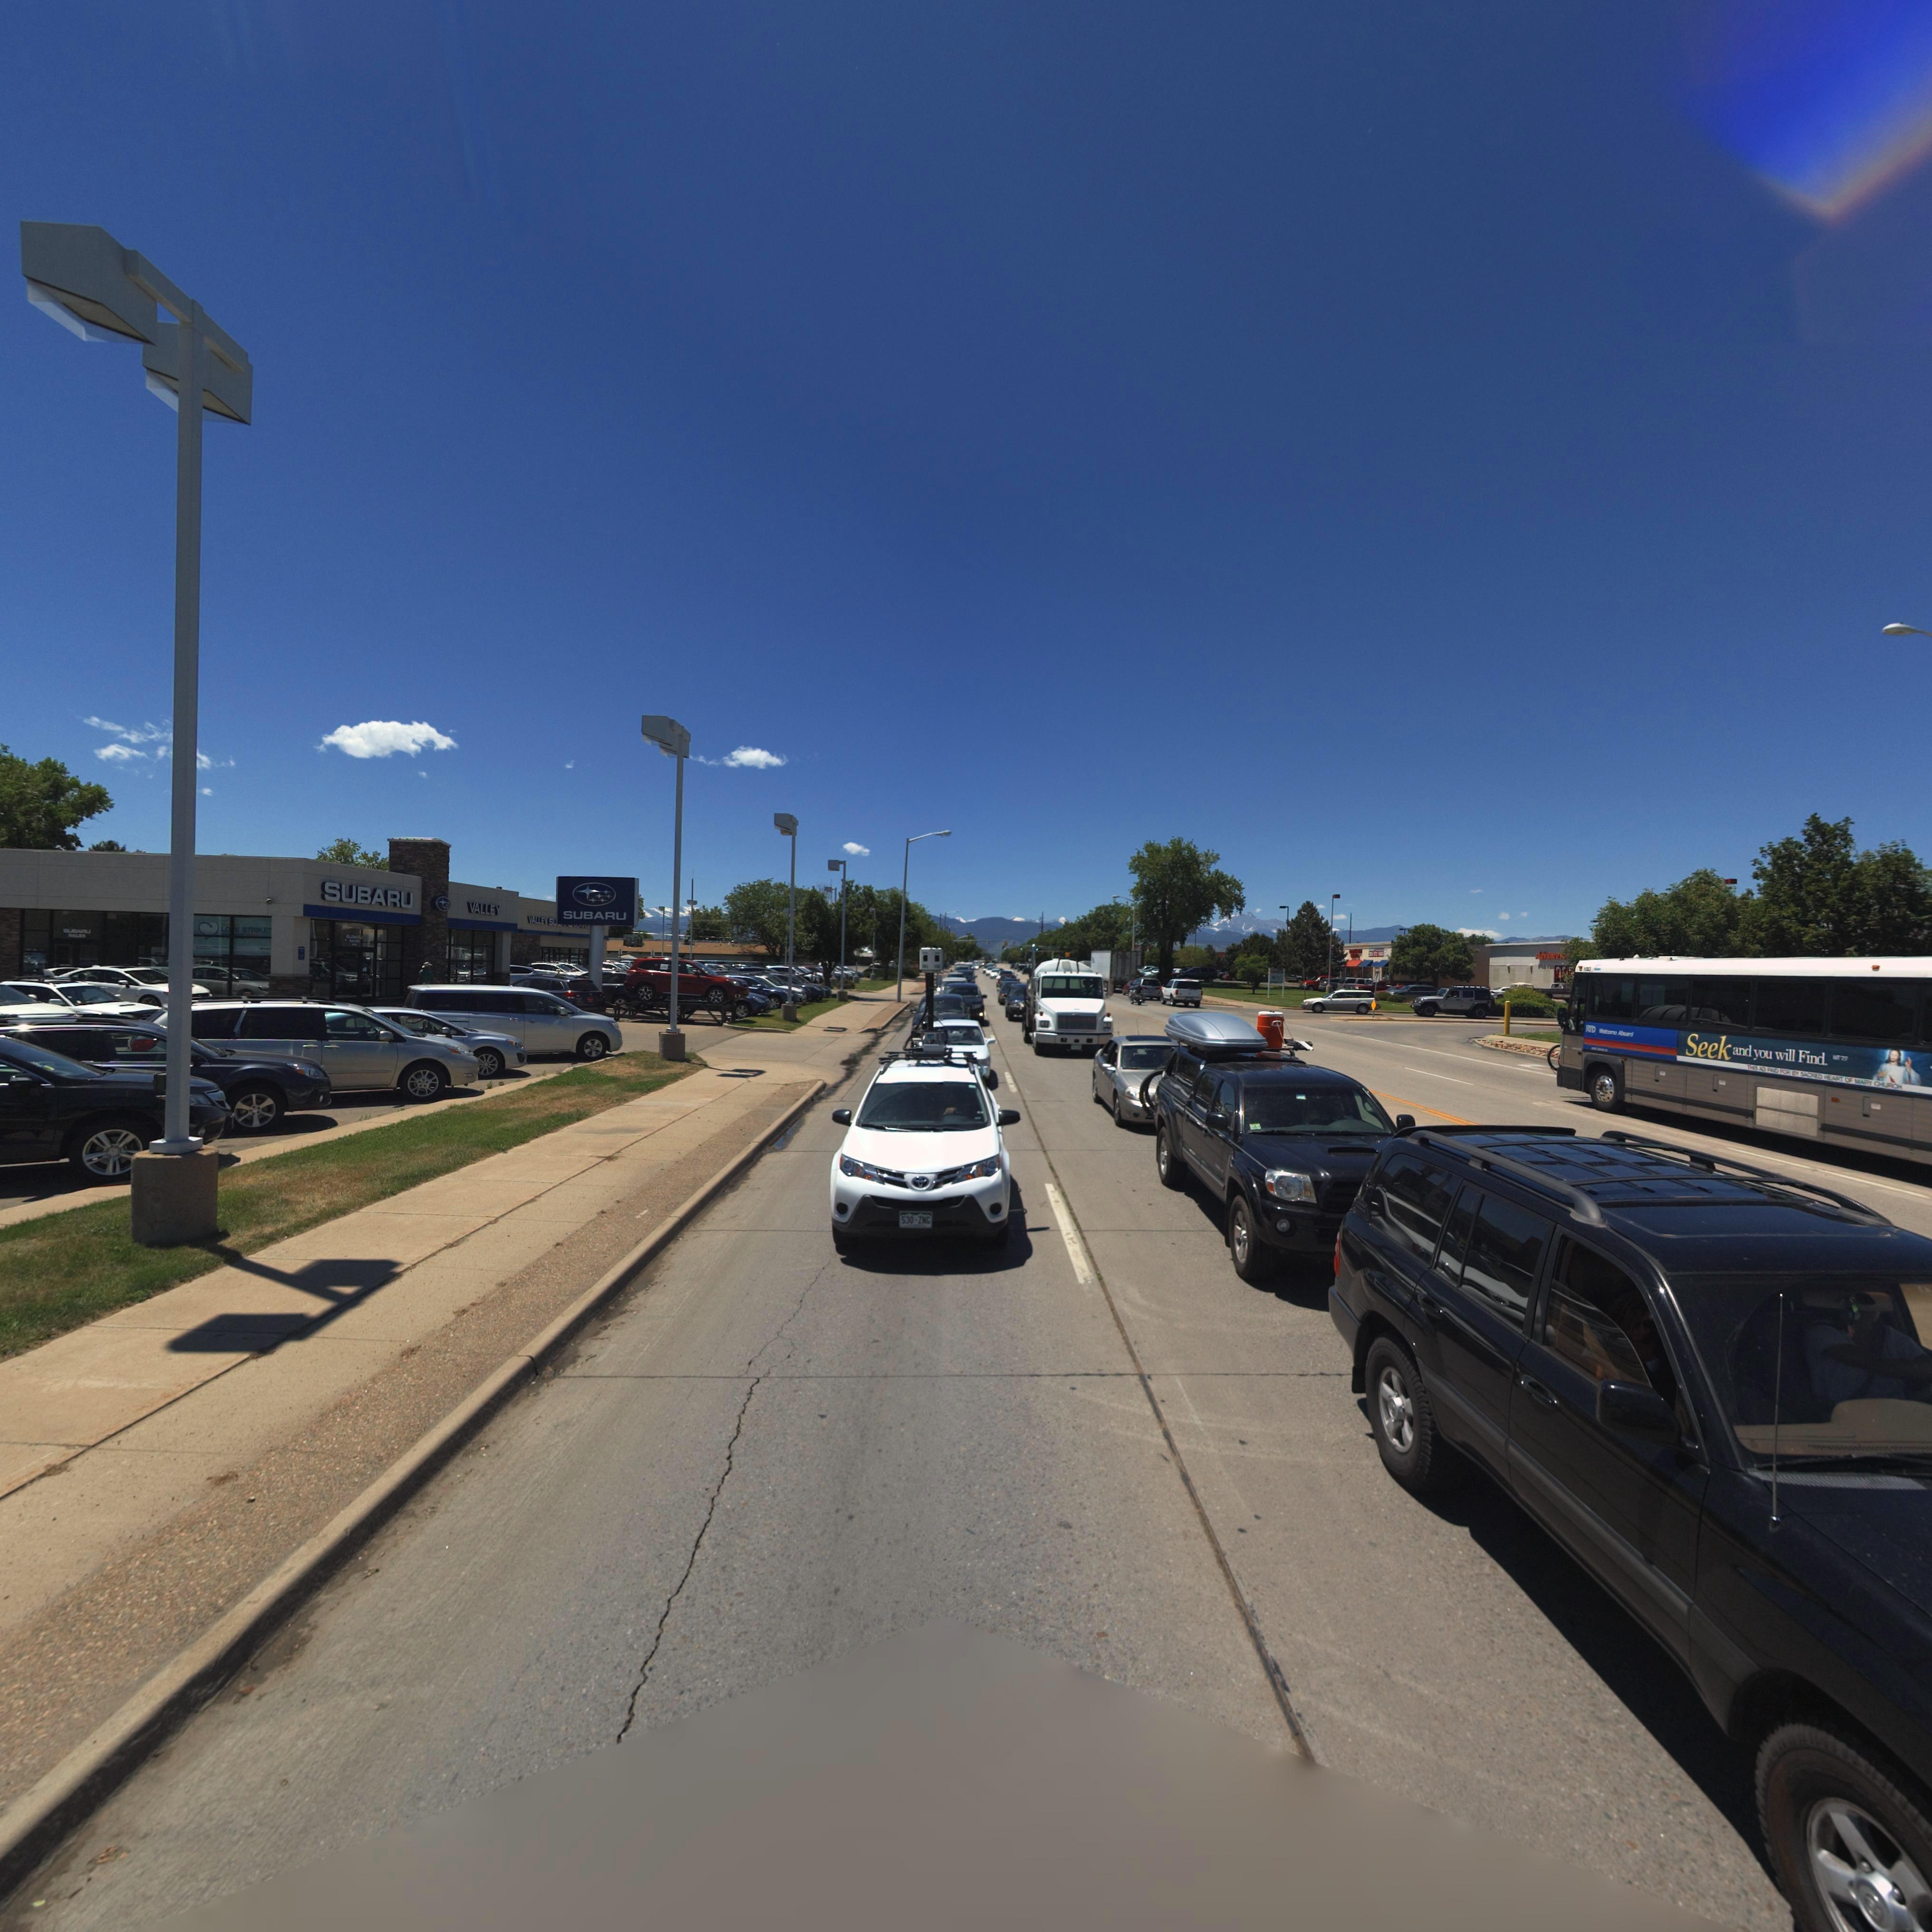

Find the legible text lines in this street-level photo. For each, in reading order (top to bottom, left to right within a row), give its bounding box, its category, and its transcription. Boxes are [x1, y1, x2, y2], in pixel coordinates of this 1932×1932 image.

[323, 881, 414, 909] BusinessName: SUBARU
[465, 900, 502, 916] BusinessName: VALLEY
[562, 910, 627, 920] BusinessName: SUBARU
[526, 915, 558, 926] BusinessName: VALLEY SU
[63, 928, 91, 934] BusinessName: *U***U
[346, 934, 364, 939] BusinessName: *U***U
[1534, 951, 1560, 960] BusinessName: Advance